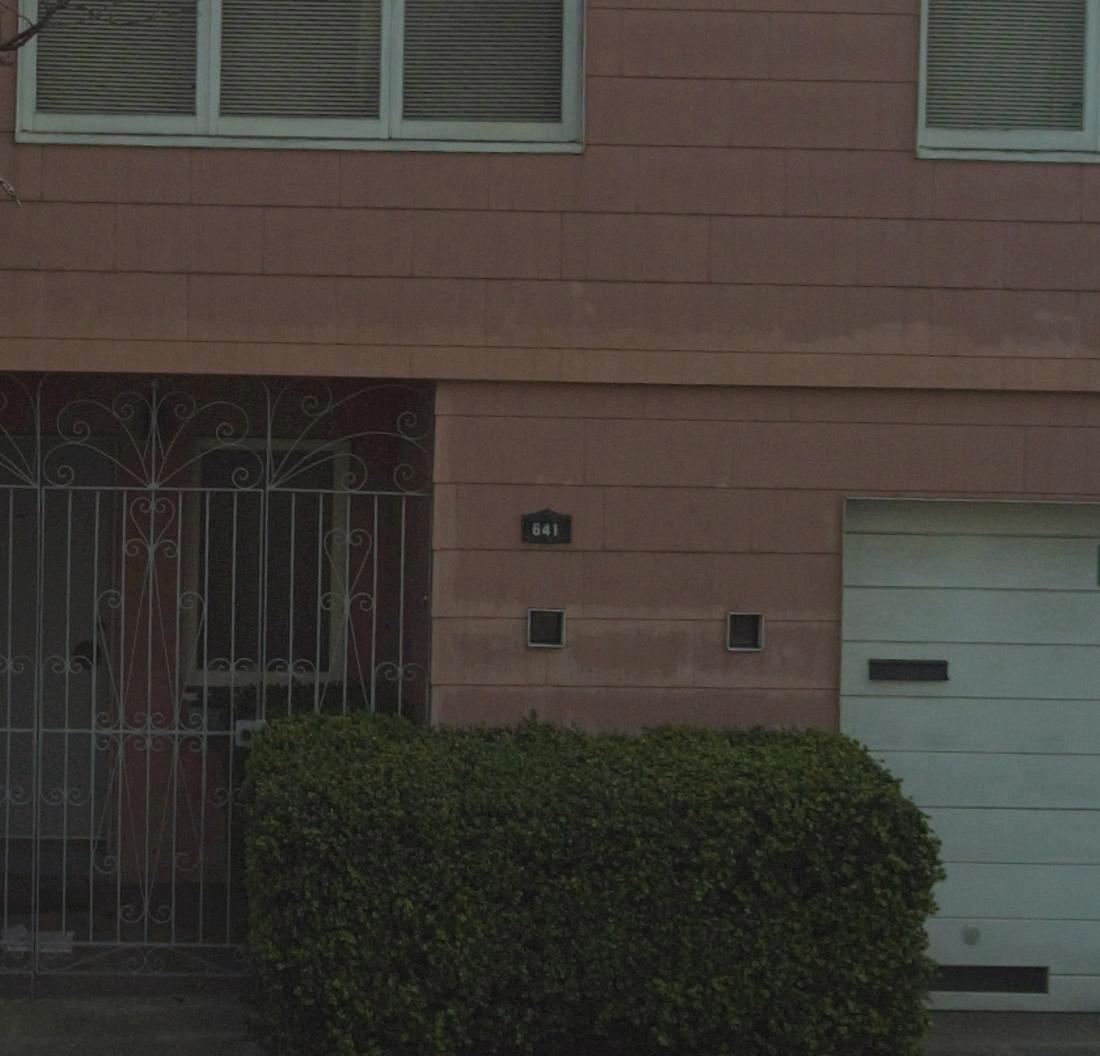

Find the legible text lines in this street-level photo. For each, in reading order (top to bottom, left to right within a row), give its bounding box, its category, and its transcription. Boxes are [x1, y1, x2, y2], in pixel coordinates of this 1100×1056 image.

[531, 521, 559, 536] StreetNumber: 641